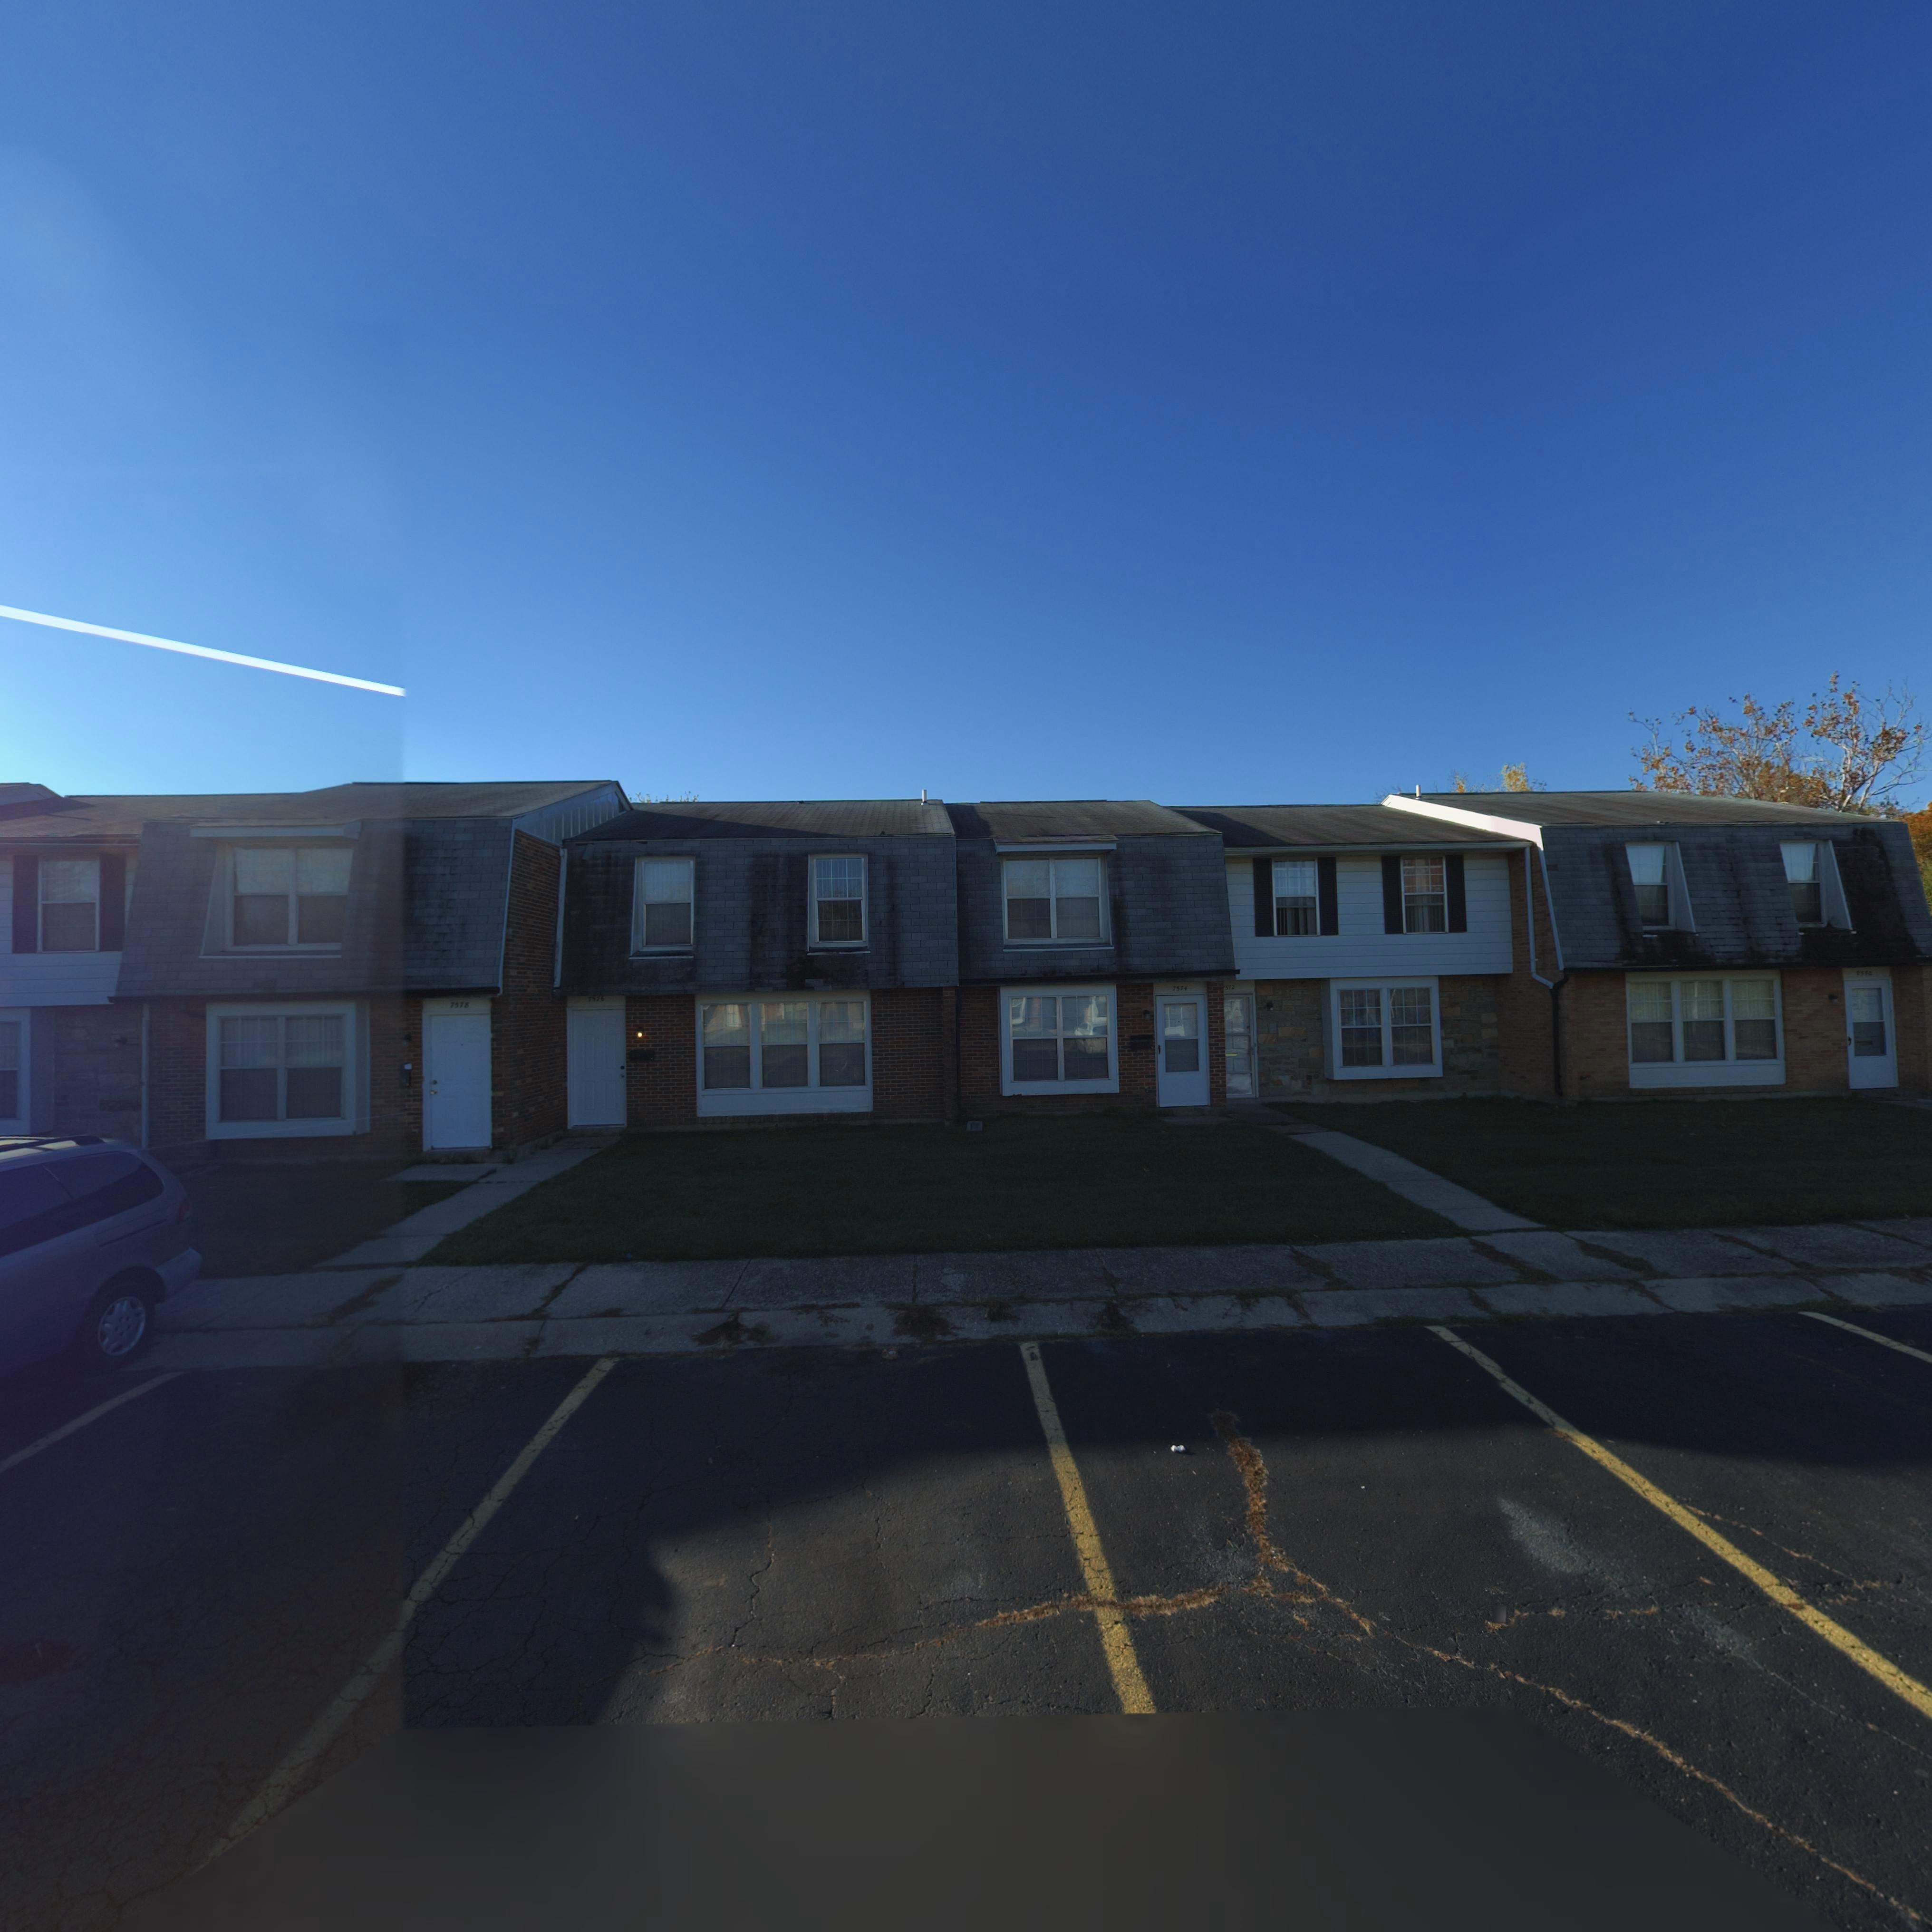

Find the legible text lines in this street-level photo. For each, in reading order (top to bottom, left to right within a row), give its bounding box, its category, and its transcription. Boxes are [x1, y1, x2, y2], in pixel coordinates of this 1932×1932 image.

[1171, 985, 1189, 993] StreetNumber: 7574
[1225, 984, 1236, 991] StreetNumber: 572
[587, 993, 607, 1004] StreetNumber: 7576
[449, 1000, 472, 1010] StreetNumber: 757*